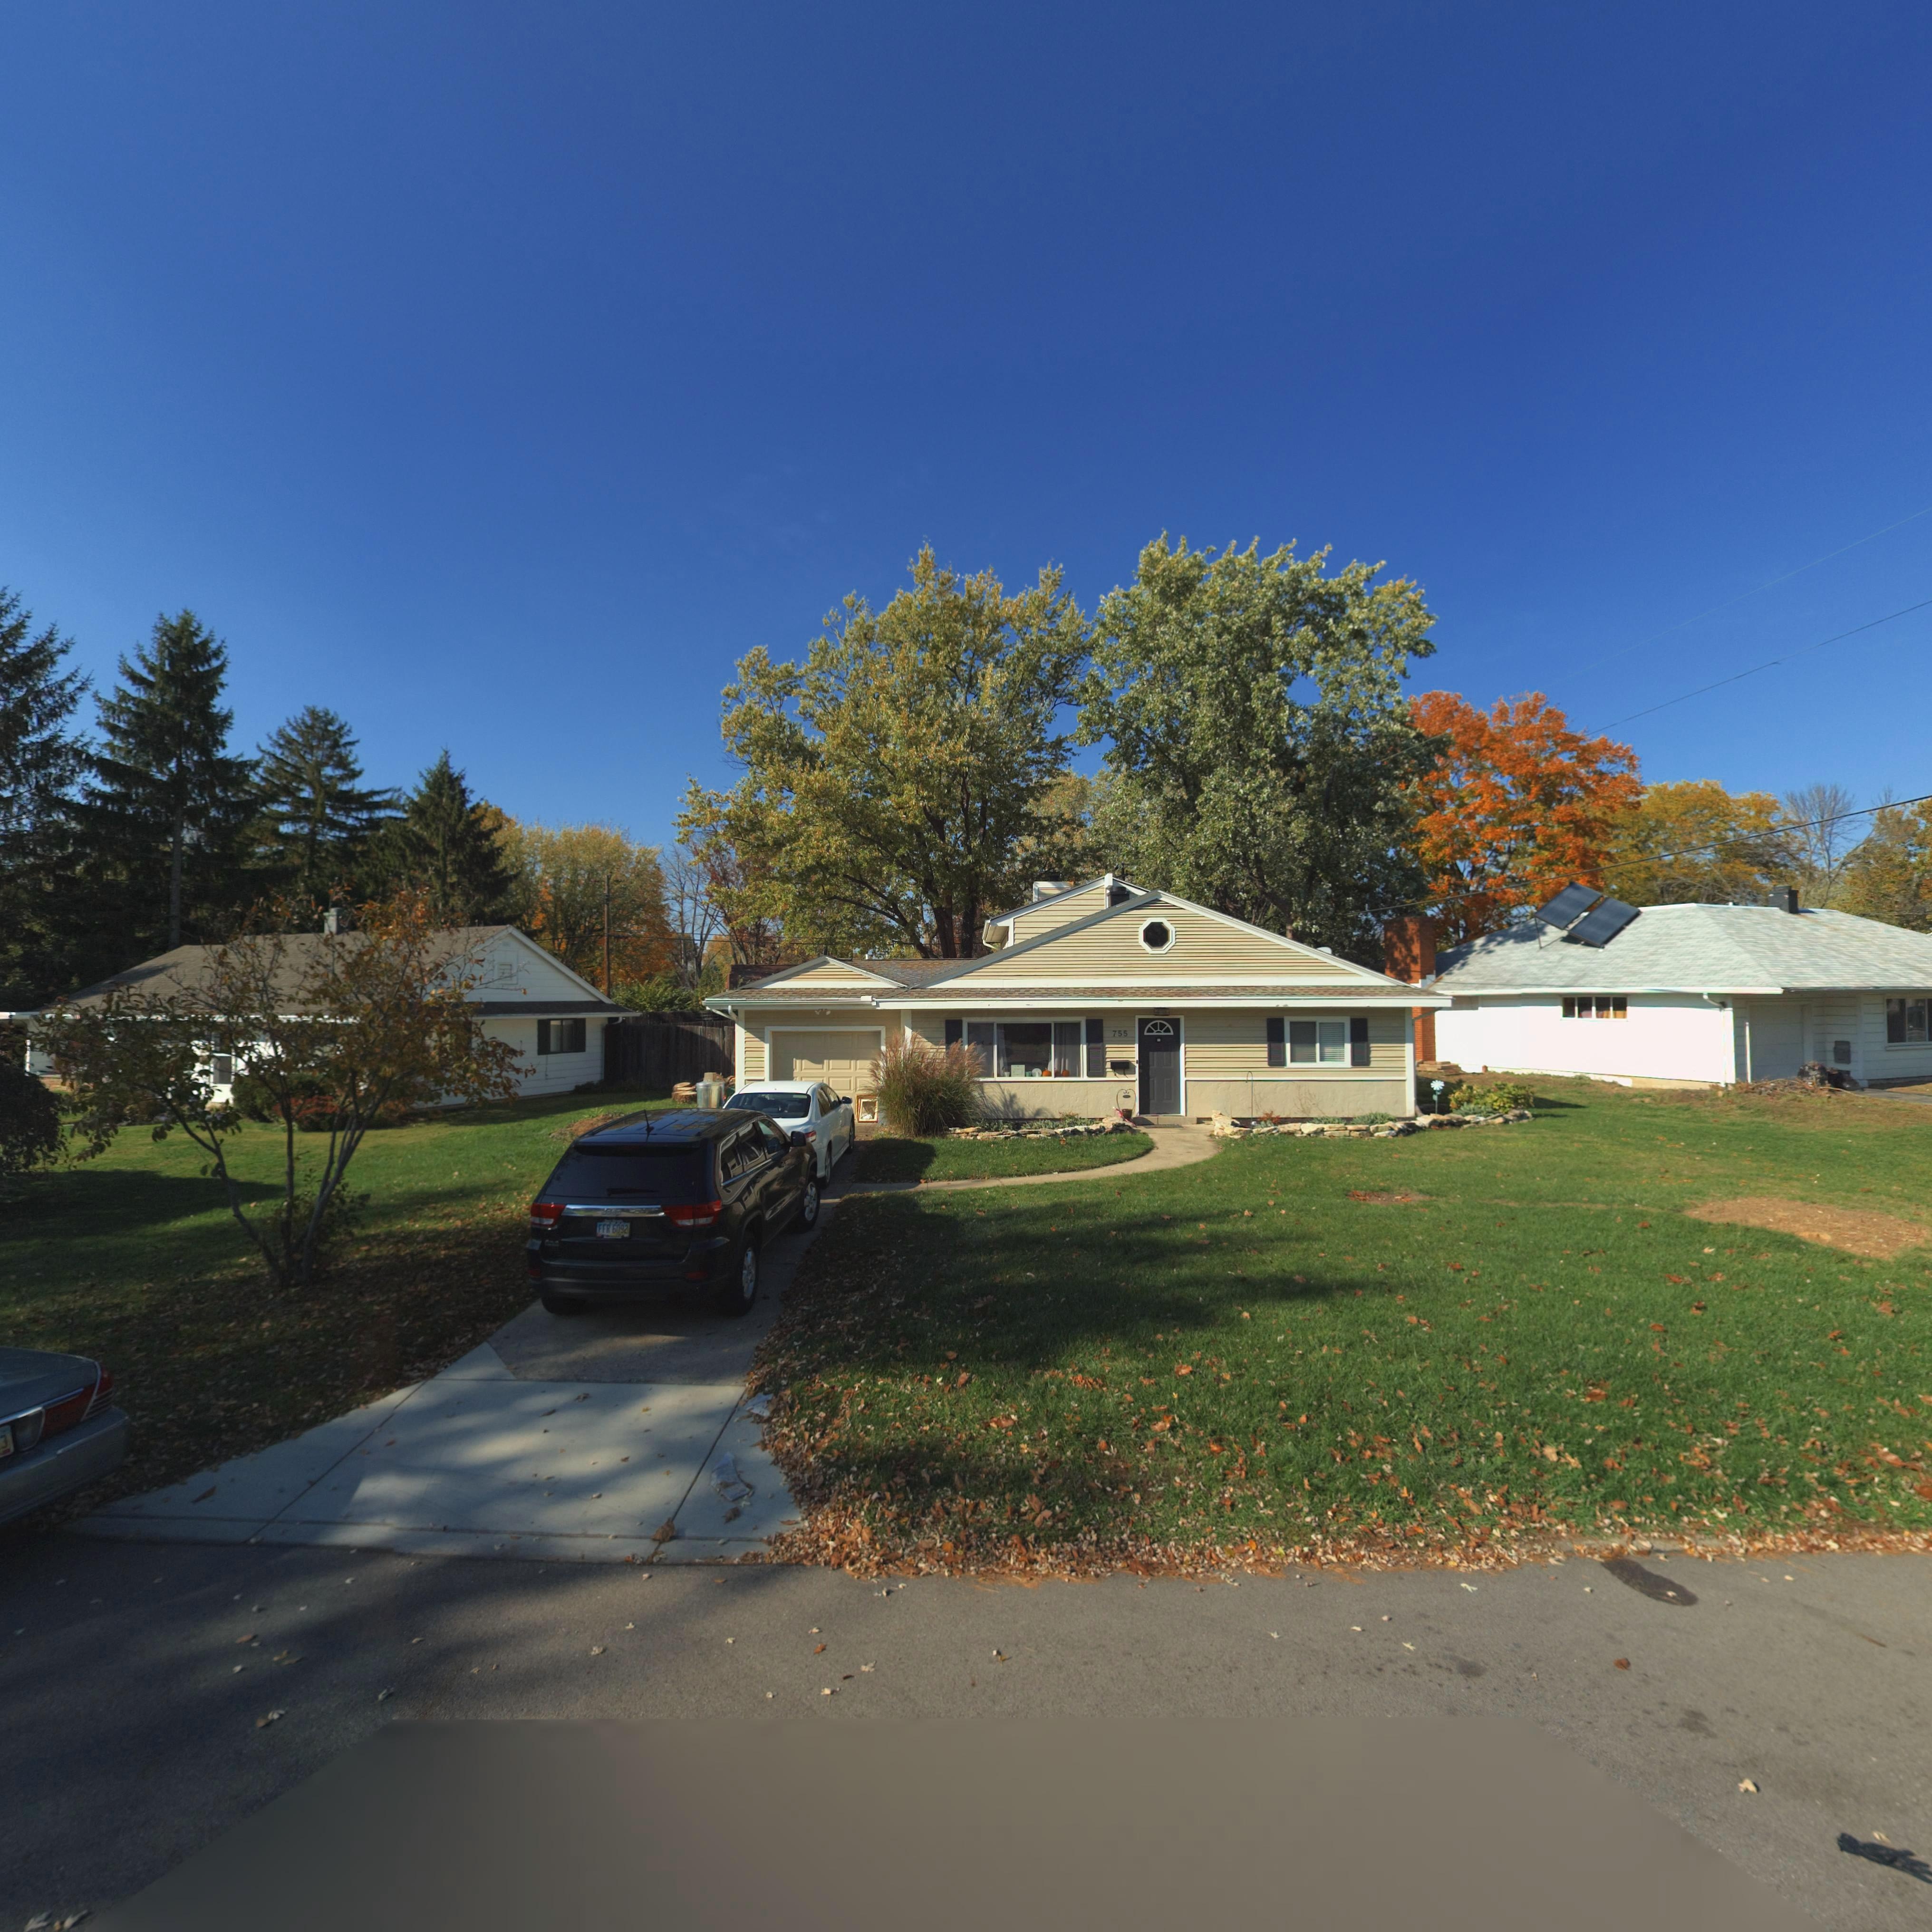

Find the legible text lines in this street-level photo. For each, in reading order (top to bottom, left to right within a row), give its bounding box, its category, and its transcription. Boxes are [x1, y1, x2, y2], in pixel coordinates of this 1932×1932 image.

[1112, 1030, 1129, 1037] StreetNumber: 755
[602, 1208, 621, 1216] None: Jeep
[598, 1224, 629, 1234] None: FFR 6092